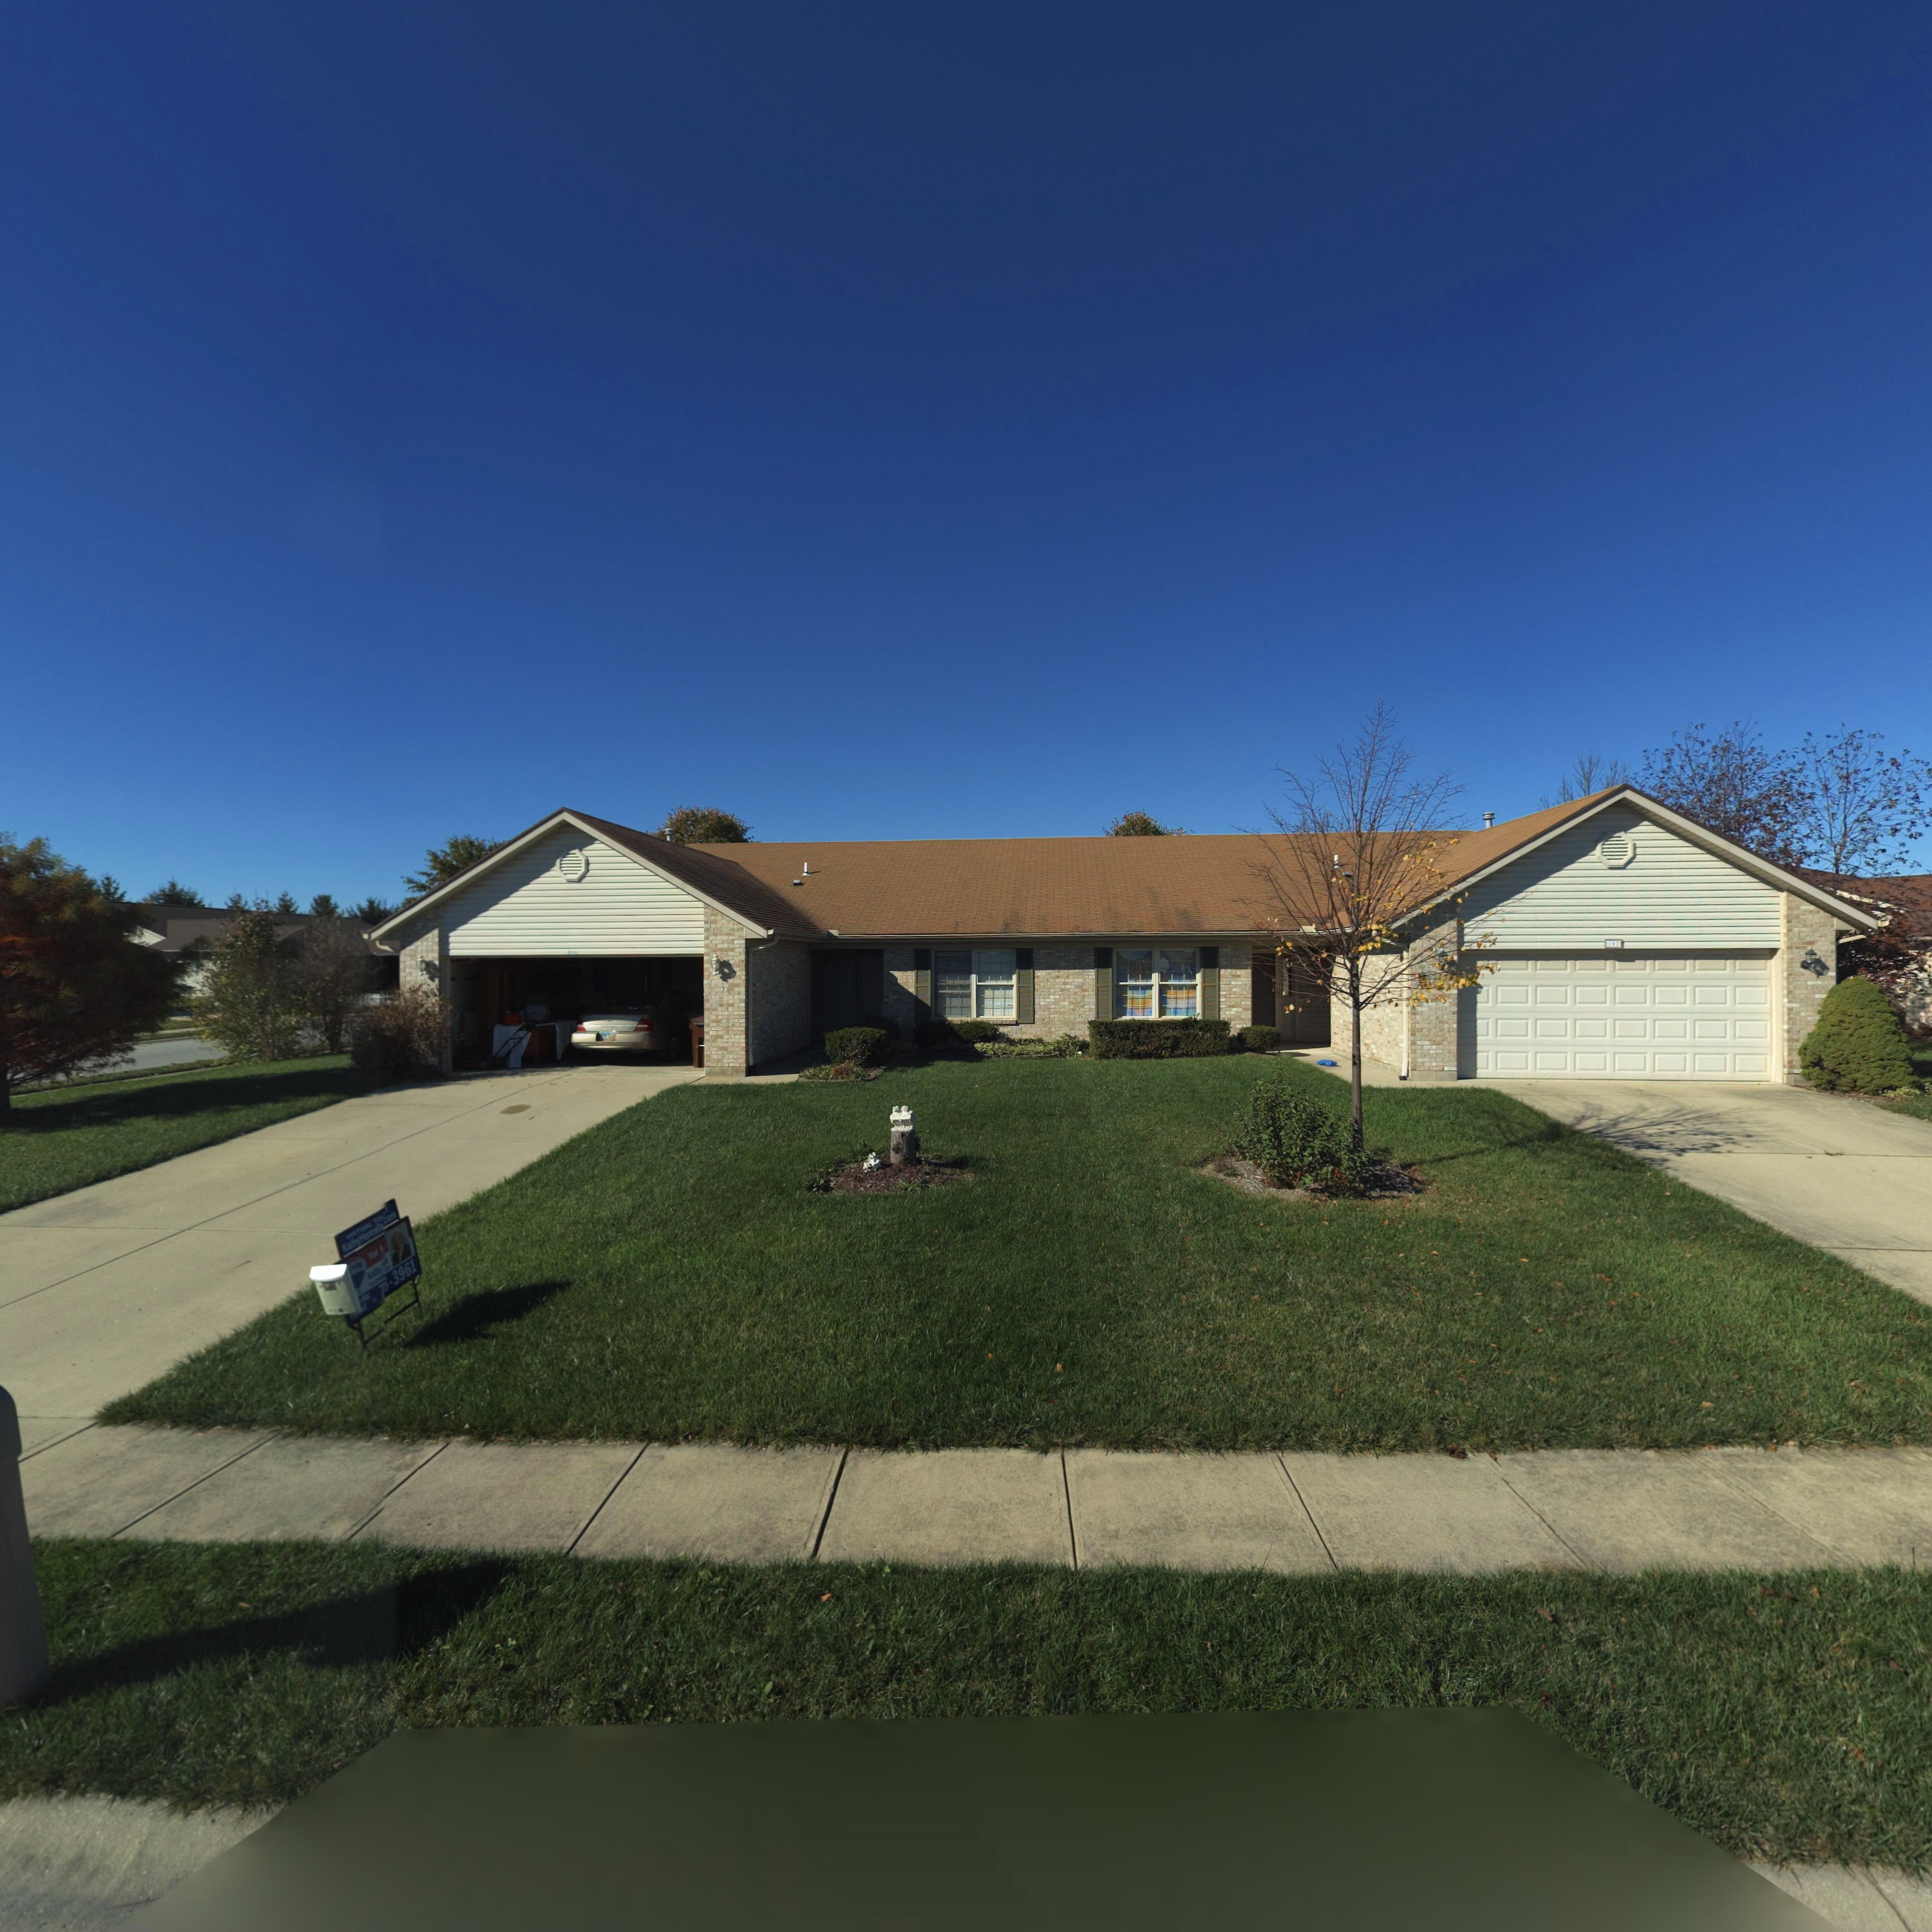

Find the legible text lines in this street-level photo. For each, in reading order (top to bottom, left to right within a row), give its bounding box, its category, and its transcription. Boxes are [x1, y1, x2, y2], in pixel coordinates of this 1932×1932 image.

[1608, 941, 1620, 947] StreetNumber: 102
[567, 948, 579, 955] StreetNumber: 100
[389, 1257, 417, 1289] None: 3961